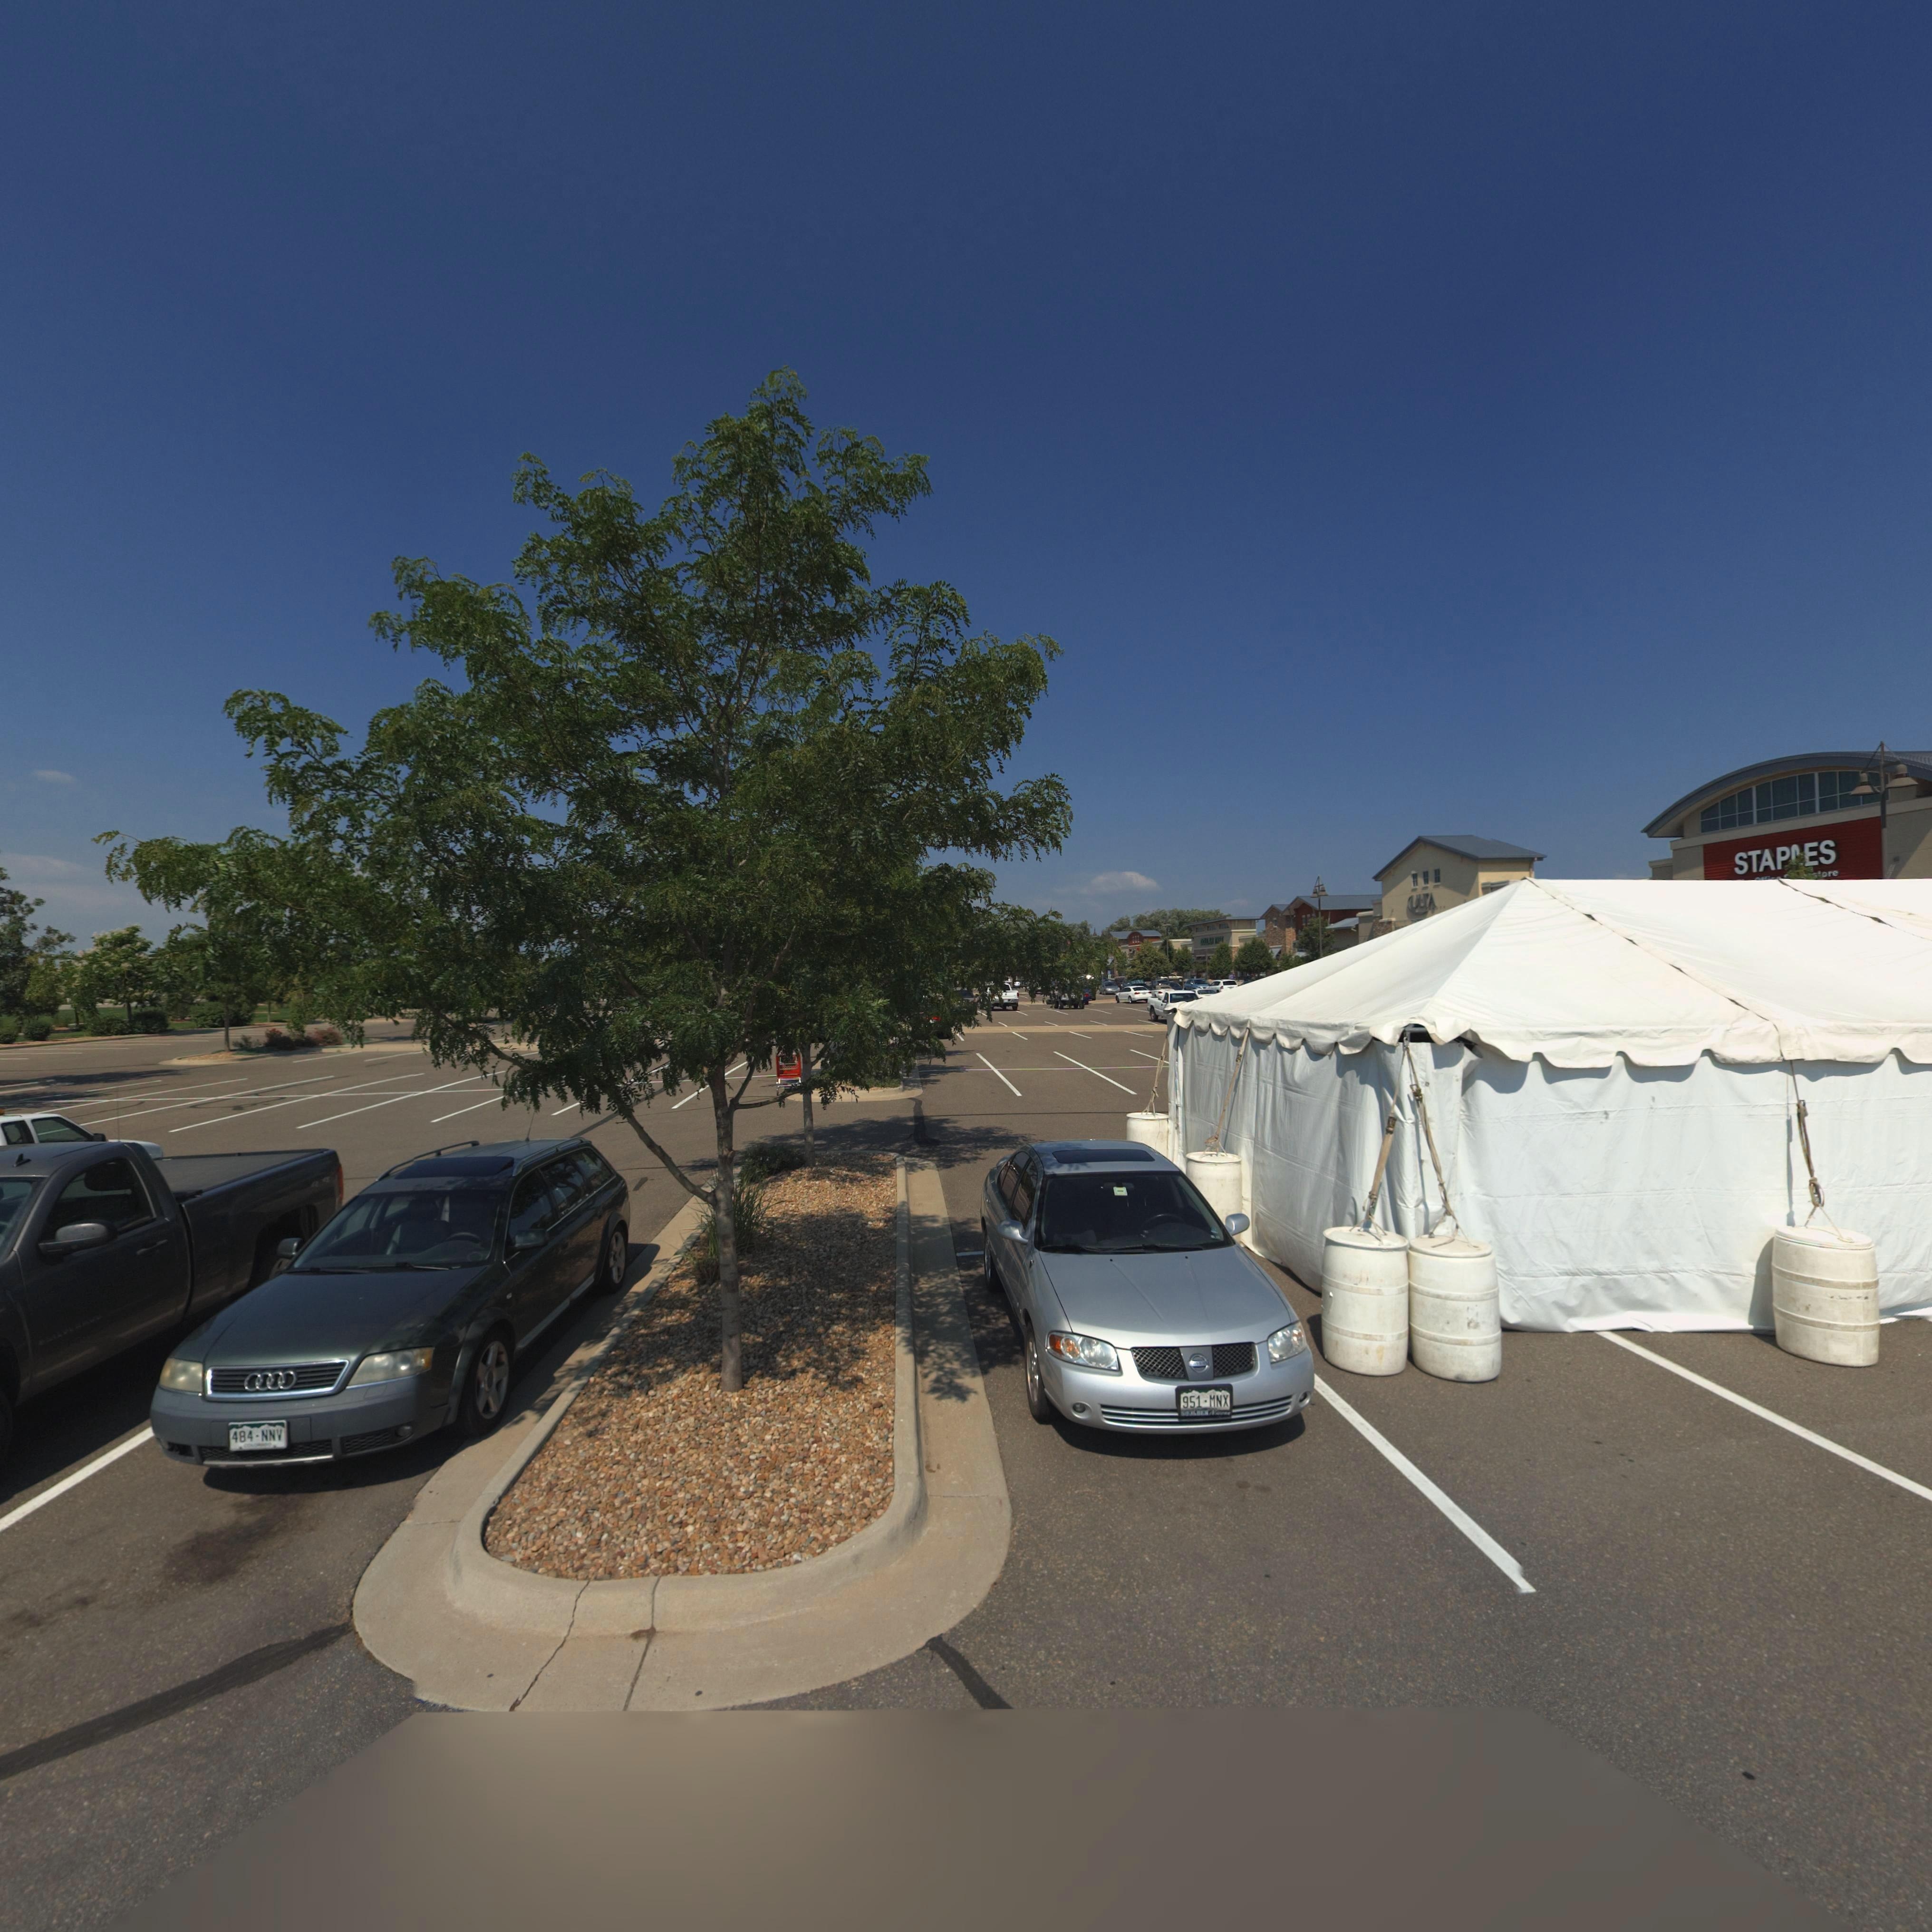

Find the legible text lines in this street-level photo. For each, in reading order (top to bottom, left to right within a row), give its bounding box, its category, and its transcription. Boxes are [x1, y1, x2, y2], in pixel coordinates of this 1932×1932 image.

[1734, 839, 1837, 875] None: STAP*ES
[1410, 892, 1438, 908] BusinessName: ULTA
[1199, 936, 1223, 945] BusinessName: DOLLAR TREE